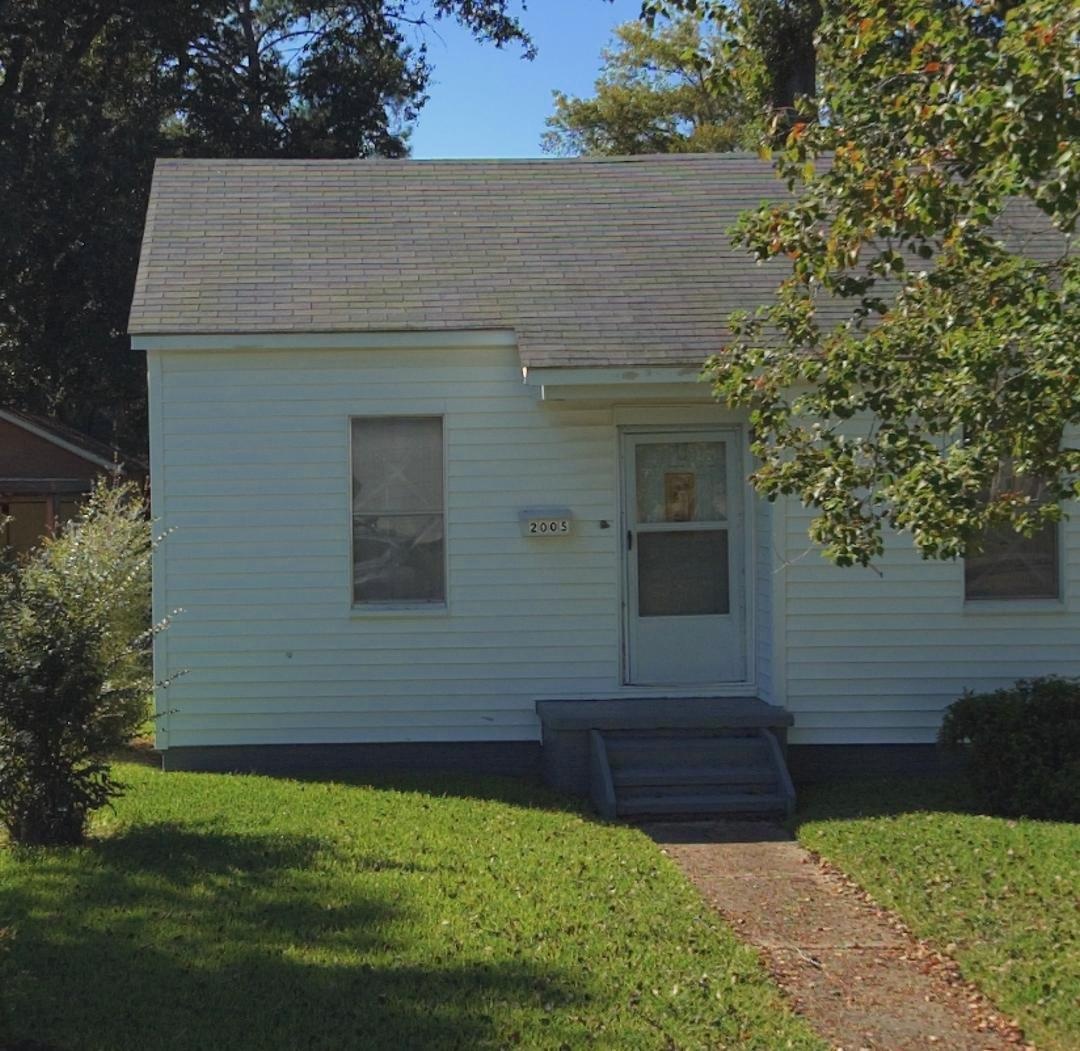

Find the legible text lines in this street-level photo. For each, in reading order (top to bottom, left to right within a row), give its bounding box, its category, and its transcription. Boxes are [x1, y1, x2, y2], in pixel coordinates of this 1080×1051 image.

[529, 520, 569, 533] StreetNumber: 2005